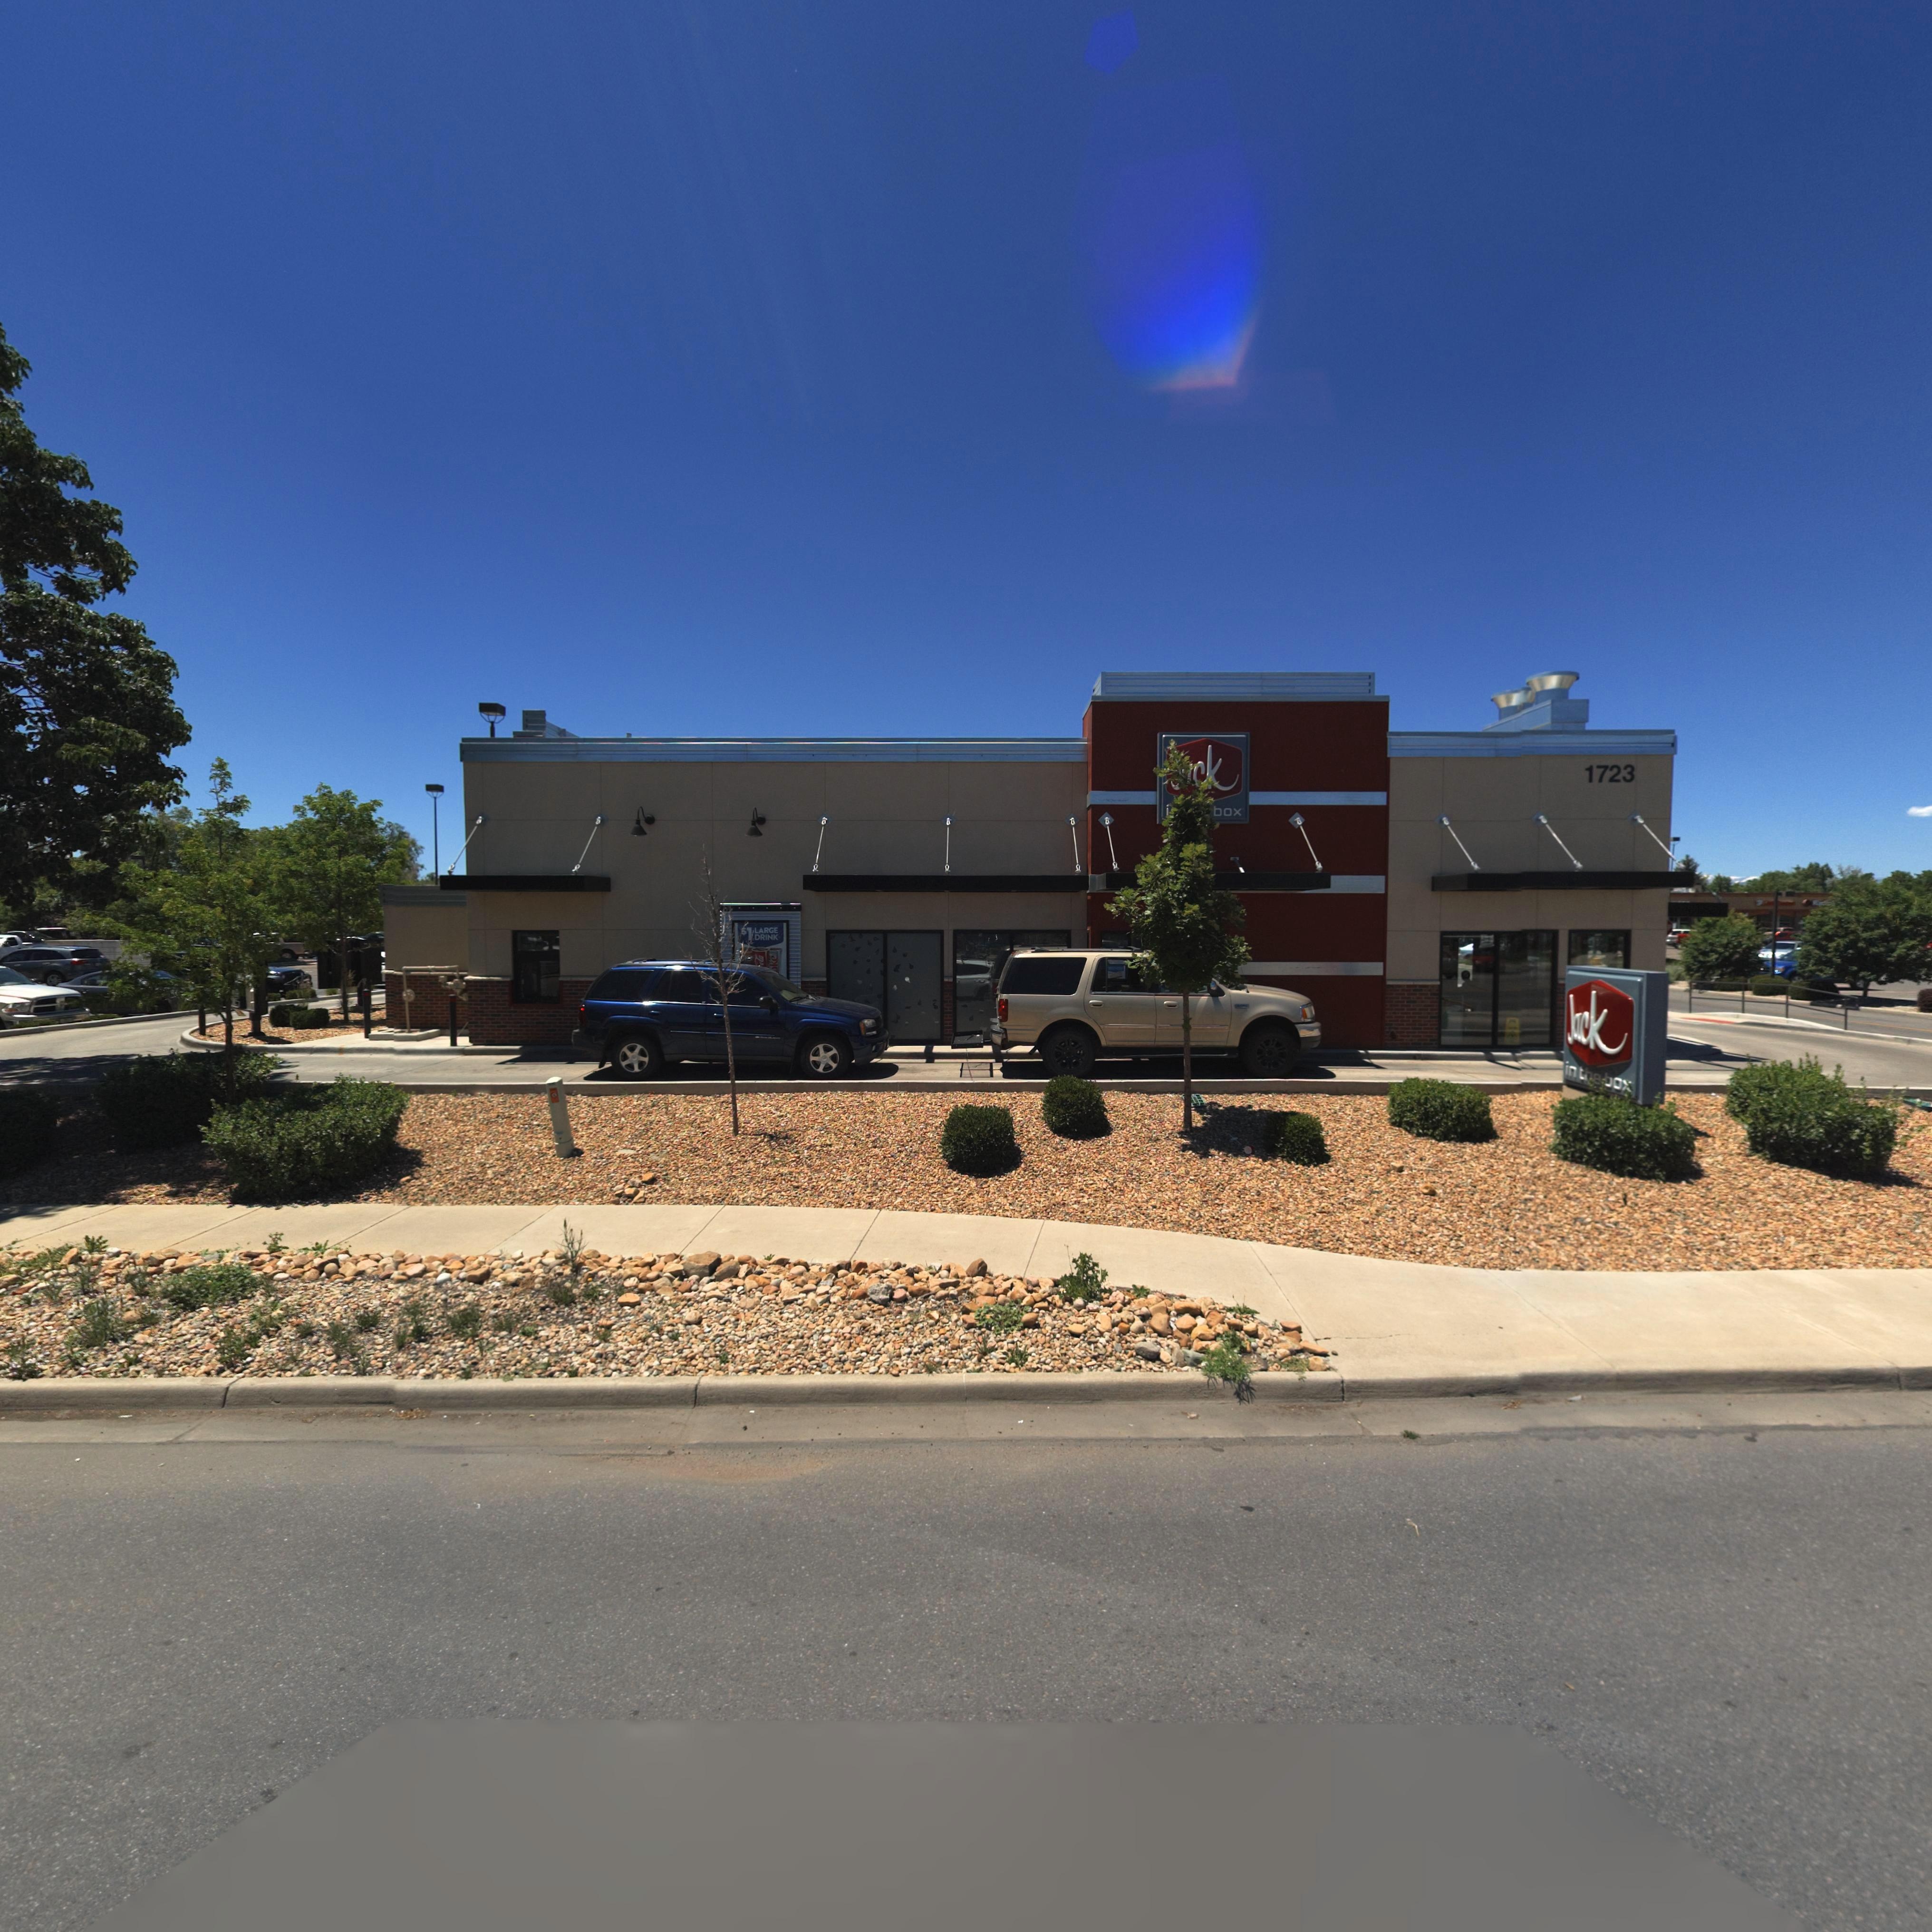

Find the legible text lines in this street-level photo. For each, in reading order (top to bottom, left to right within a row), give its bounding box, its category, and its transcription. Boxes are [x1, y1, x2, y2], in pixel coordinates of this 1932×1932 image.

[1169, 743, 1239, 792] BusinessName: **ck
[1584, 763, 1635, 783] StreetNumber: 1723
[1166, 803, 1242, 817] BusinessName: i* *** box
[1761, 899, 1796, 906] BusinessName: C********
[1812, 899, 1833, 906] BusinessName: R****
[1565, 989, 1628, 1055] BusinessName: Jack
[1564, 1060, 1633, 1093] BusinessName: in the box